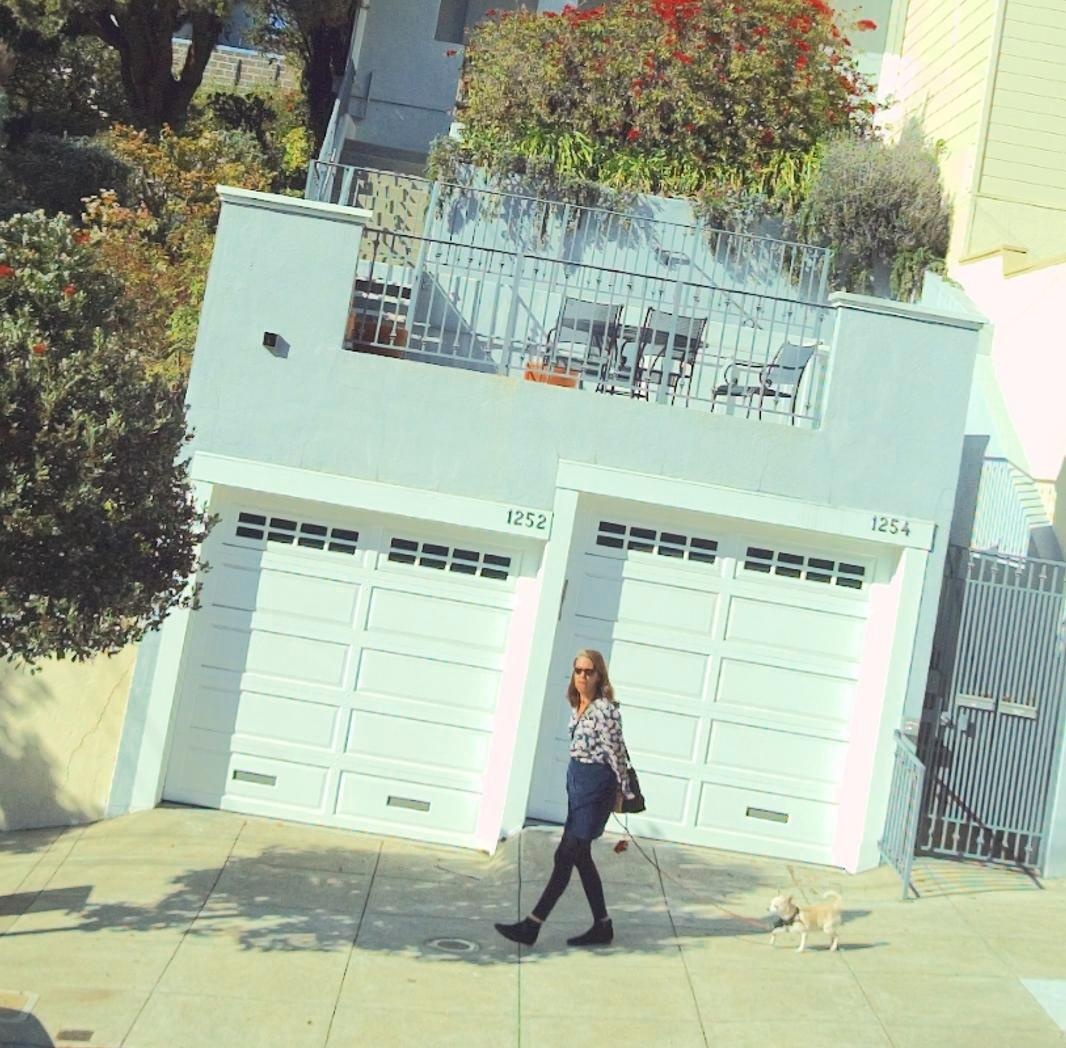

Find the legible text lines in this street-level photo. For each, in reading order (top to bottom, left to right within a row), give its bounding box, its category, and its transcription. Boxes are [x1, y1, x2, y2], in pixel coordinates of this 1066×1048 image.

[505, 506, 548, 532] StreetNumber: 1252
[870, 512, 912, 539] StreetNumber: 1254